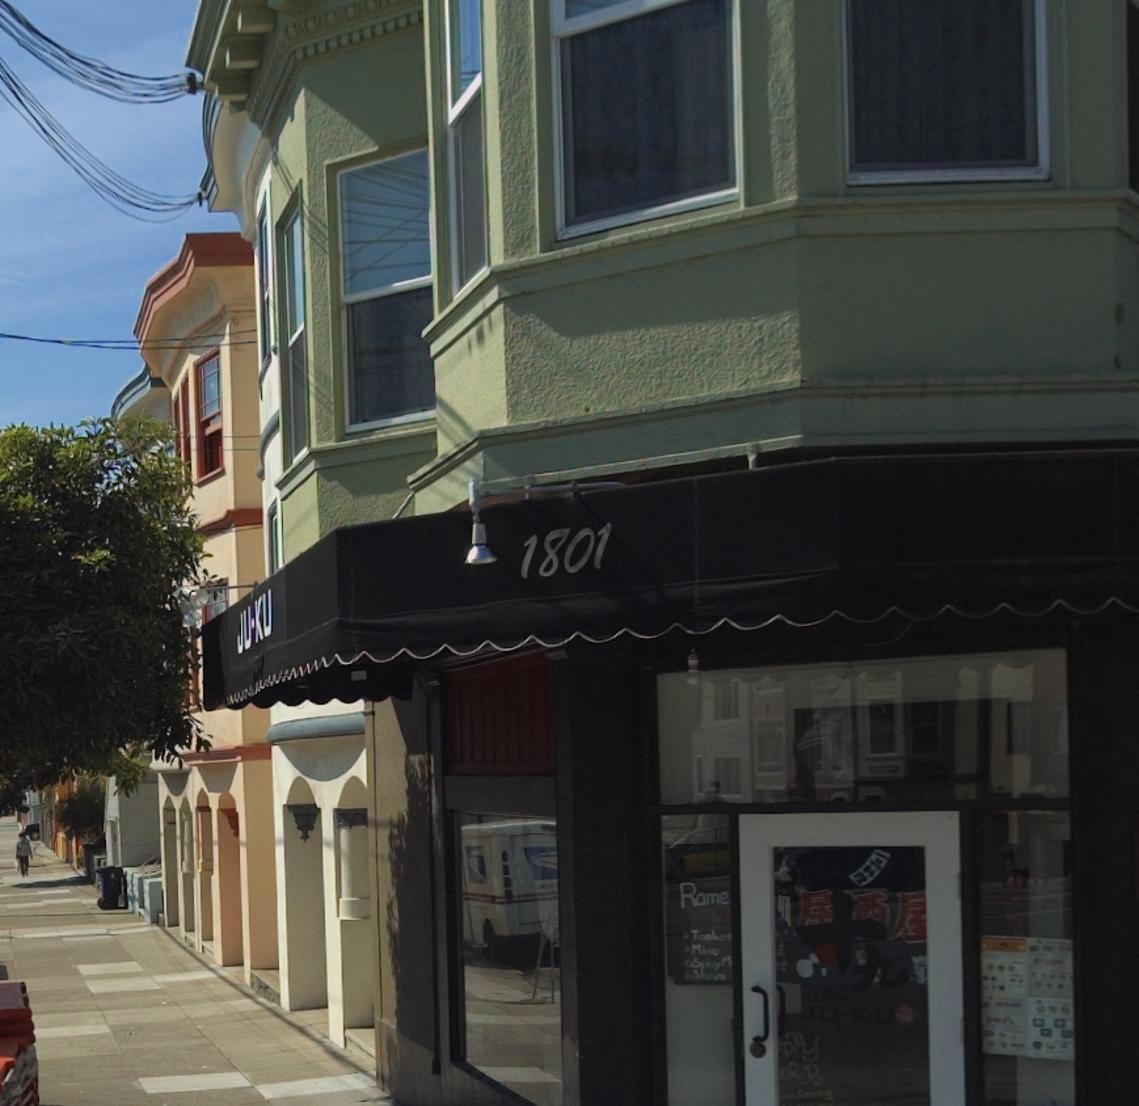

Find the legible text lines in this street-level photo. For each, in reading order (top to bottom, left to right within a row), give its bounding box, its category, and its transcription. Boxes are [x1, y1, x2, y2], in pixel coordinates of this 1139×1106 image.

[515, 520, 614, 584] StreetNumber: 1801
[235, 586, 273, 657] BusinessName: JU-KU
[678, 881, 731, 909] None: Rame
[817, 1002, 893, 1027] BusinessName: U-KU